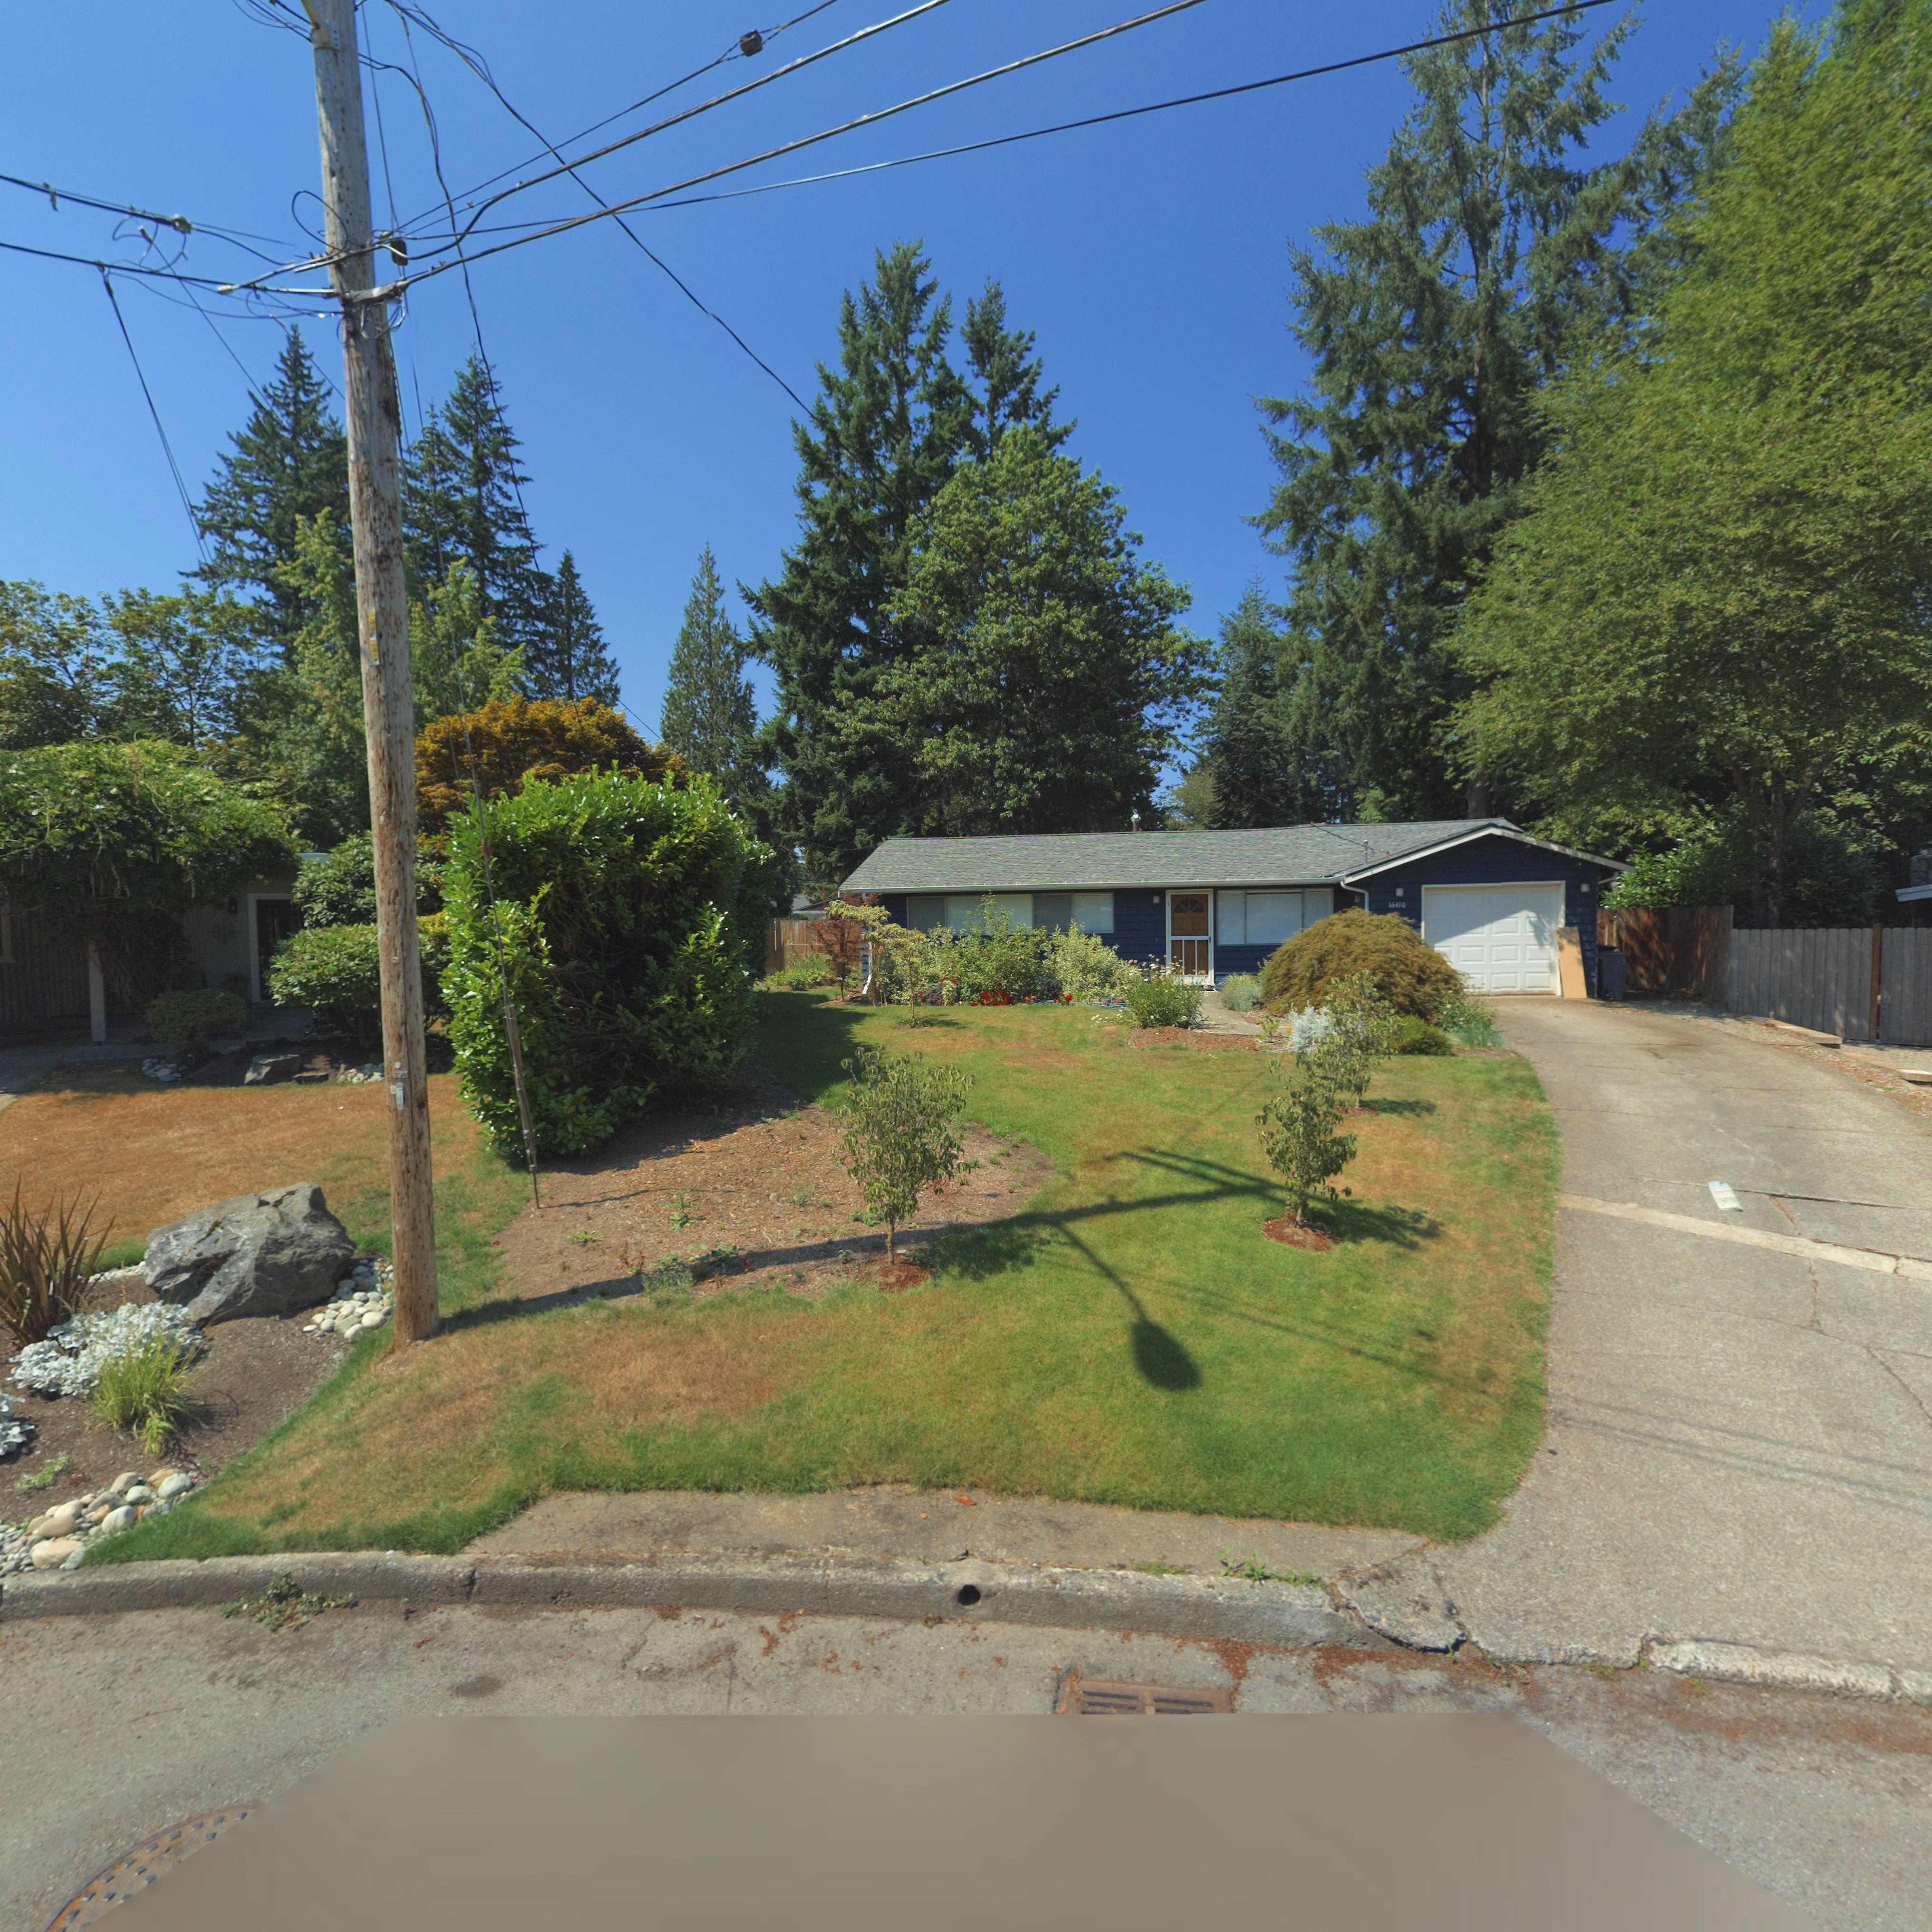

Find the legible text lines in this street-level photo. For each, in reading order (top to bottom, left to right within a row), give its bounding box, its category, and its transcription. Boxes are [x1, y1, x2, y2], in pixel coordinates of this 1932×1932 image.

[1388, 901, 1406, 908] StreetNumber: 16410